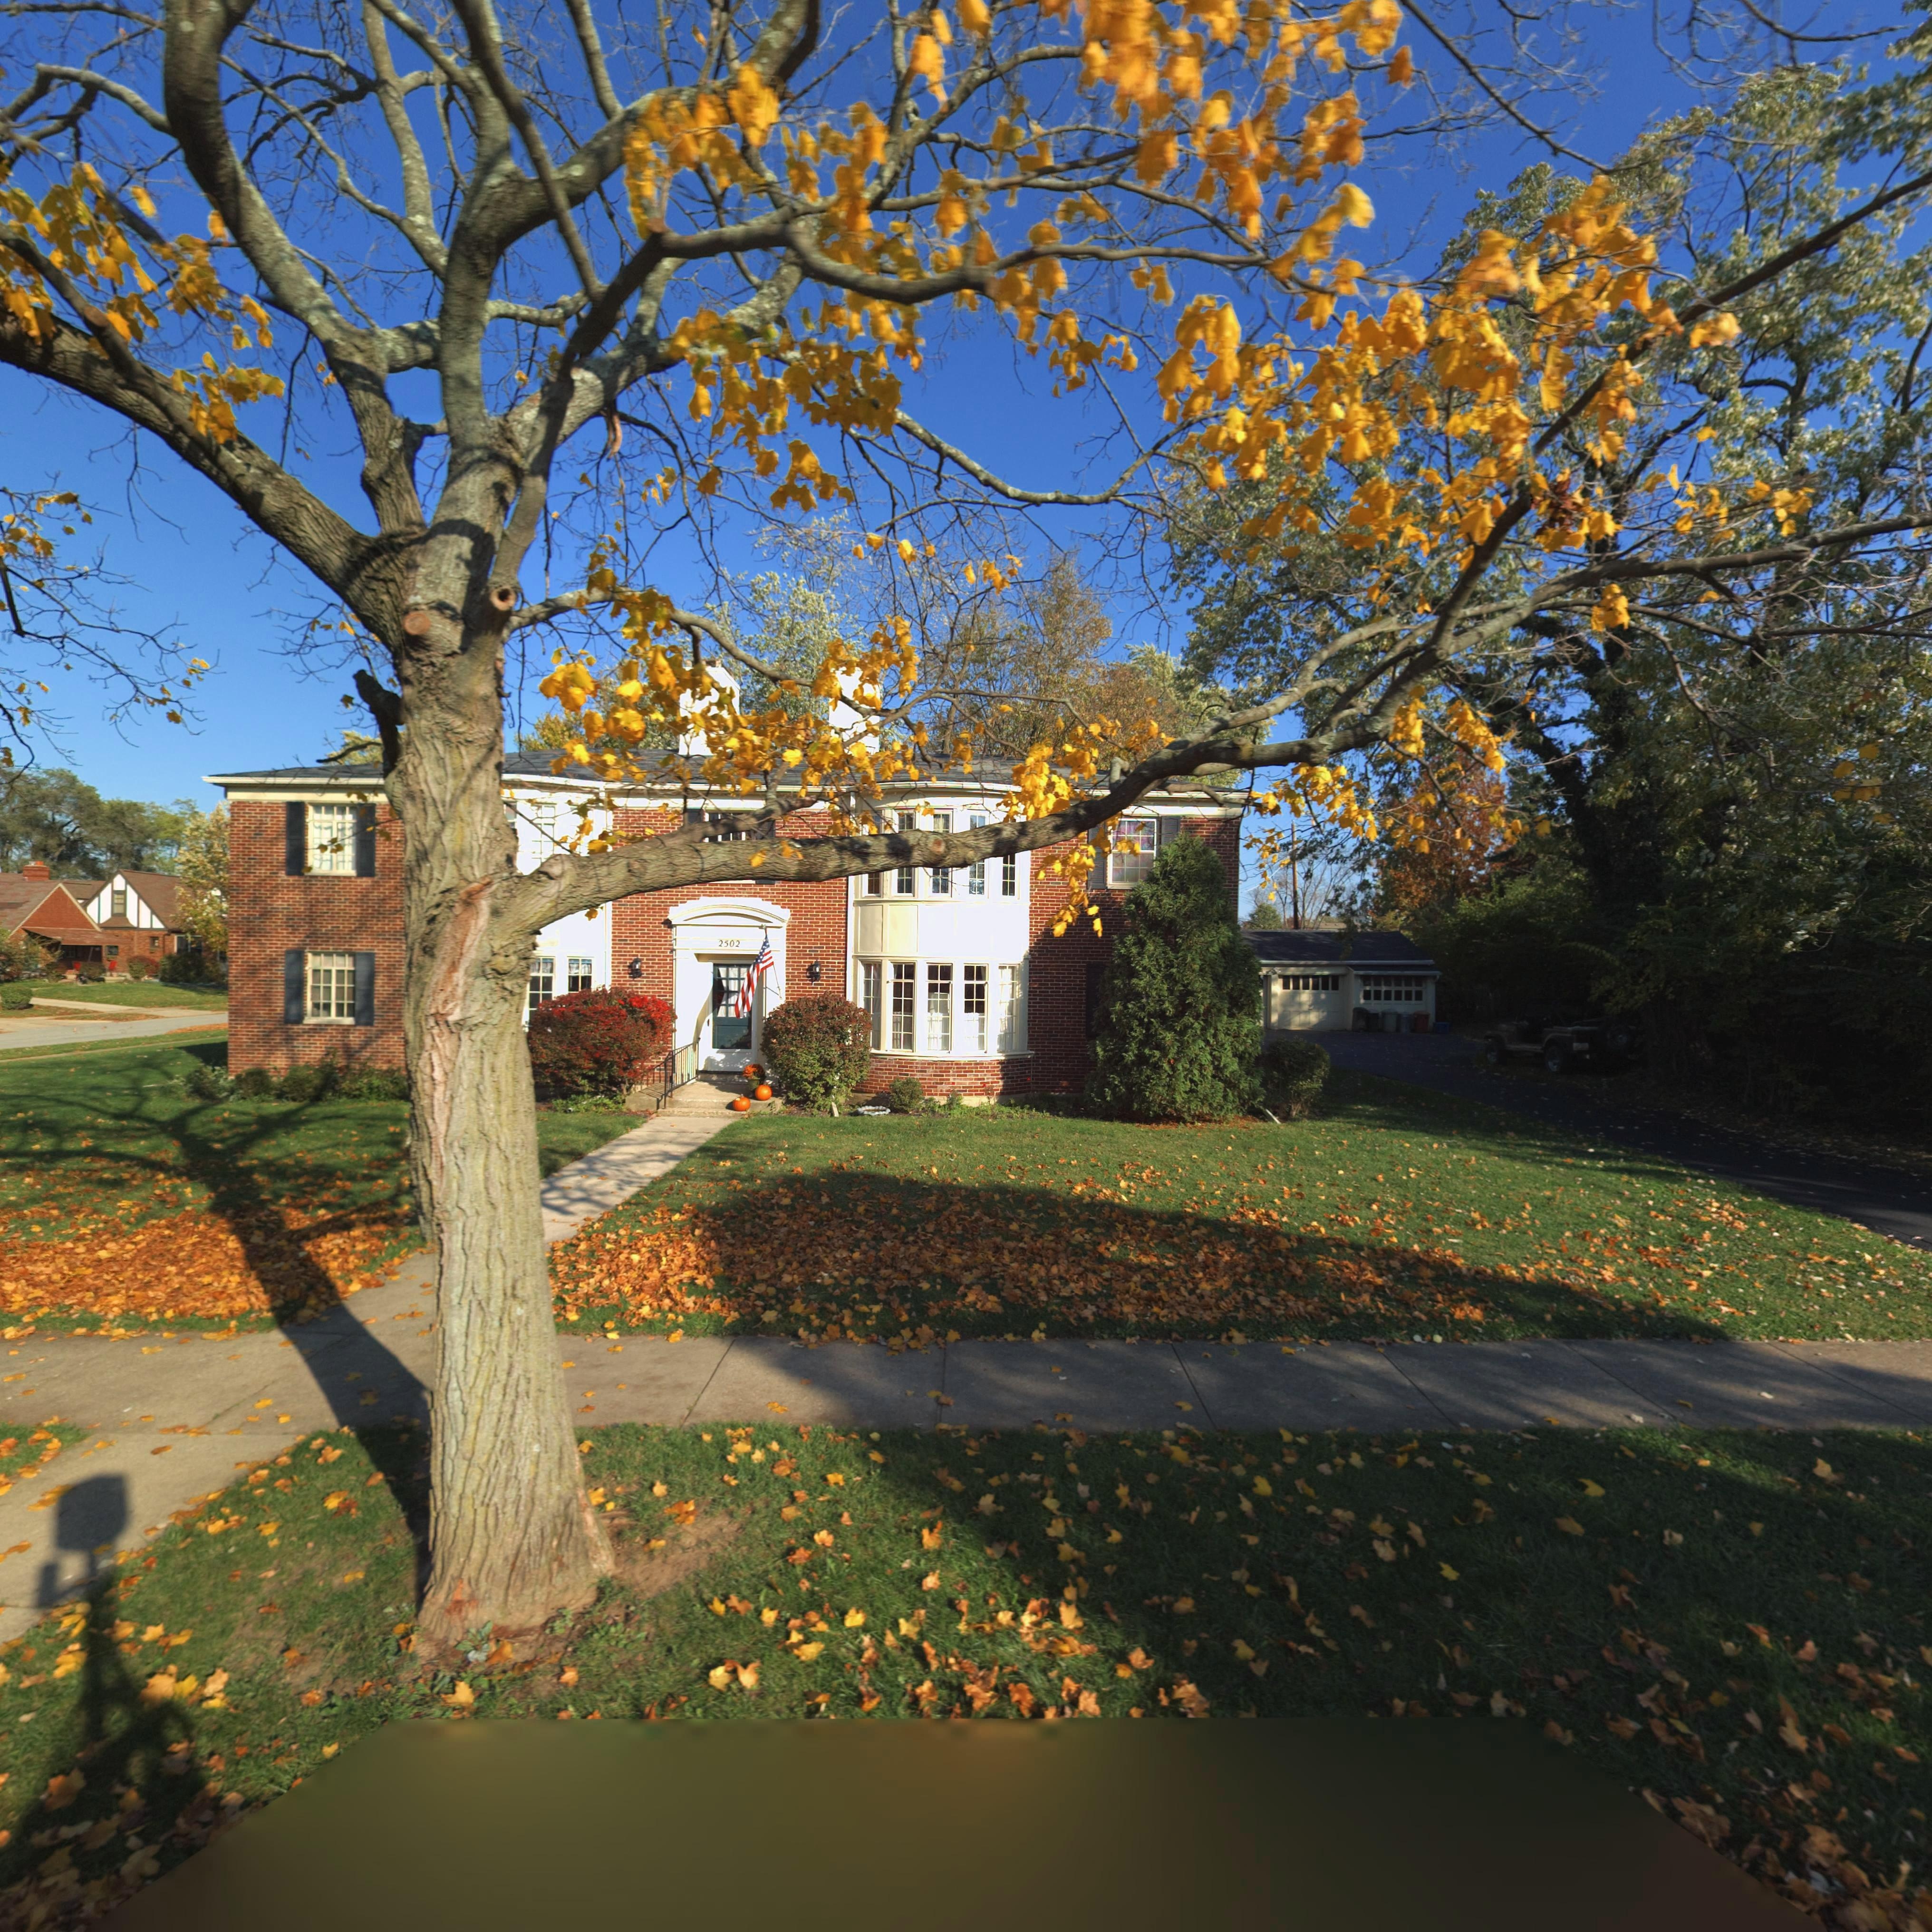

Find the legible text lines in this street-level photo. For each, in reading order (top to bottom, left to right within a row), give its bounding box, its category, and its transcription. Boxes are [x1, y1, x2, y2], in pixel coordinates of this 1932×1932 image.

[716, 938, 741, 948] StreetNumber: 2502